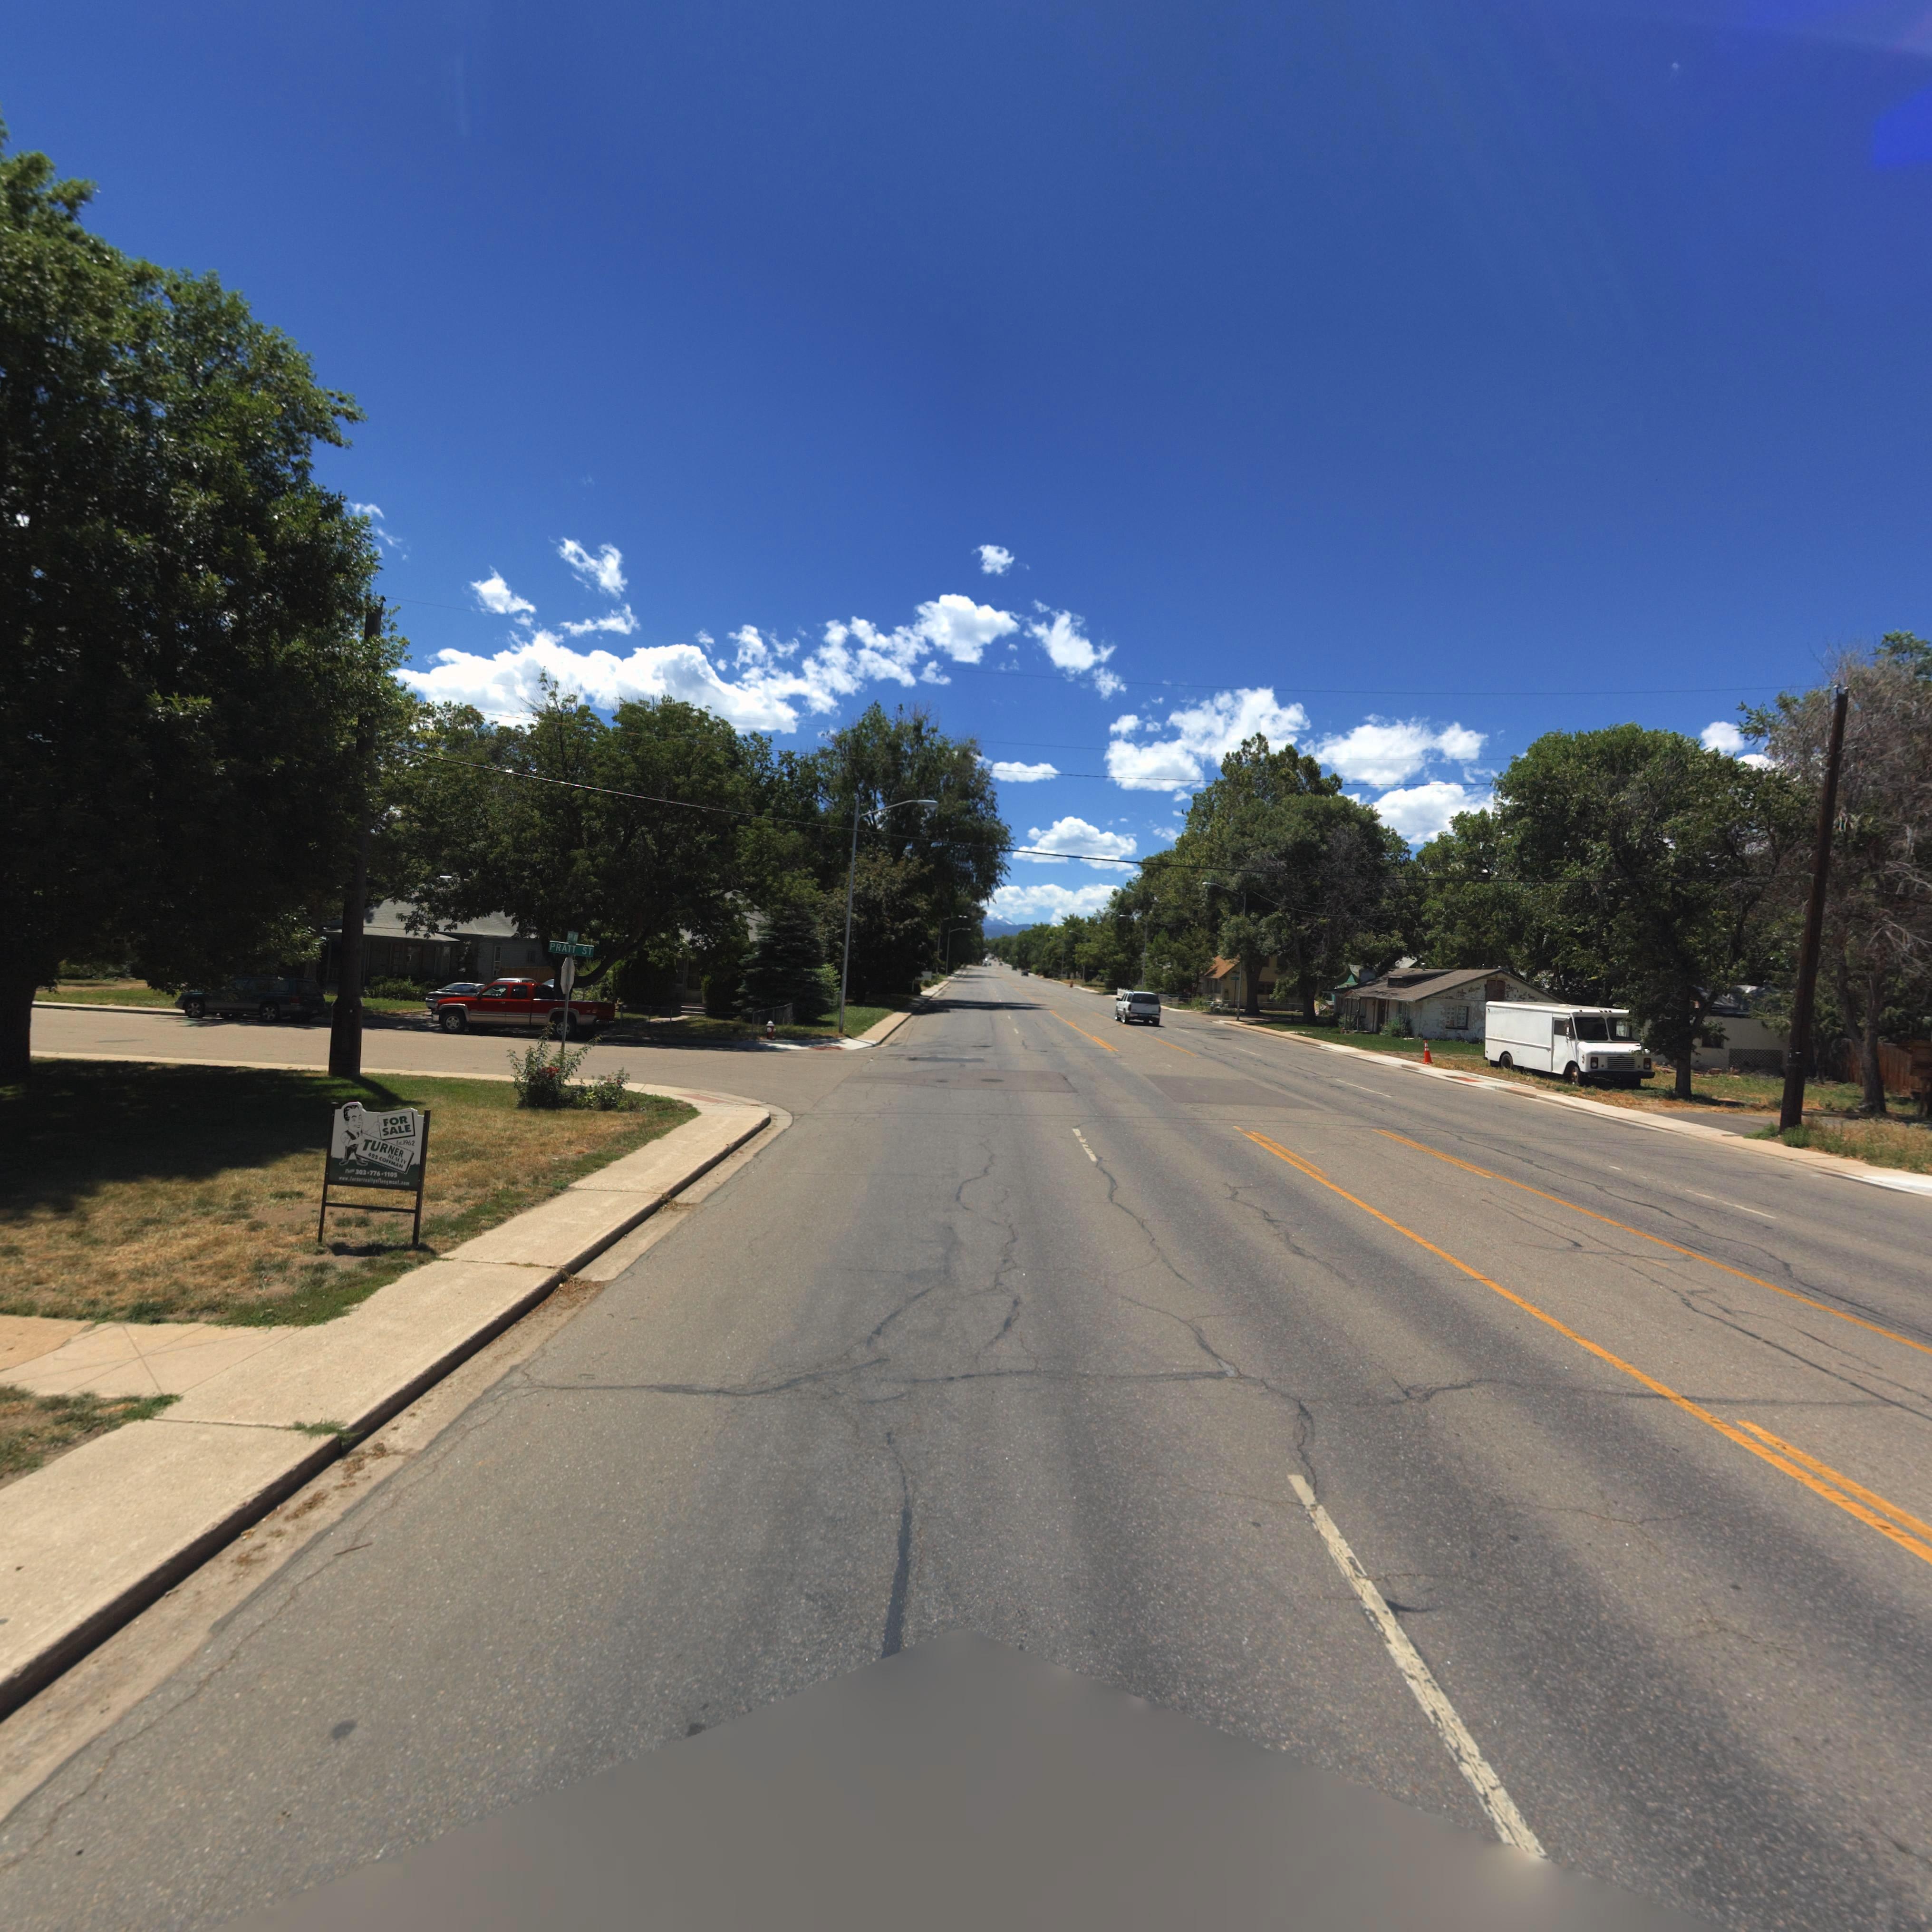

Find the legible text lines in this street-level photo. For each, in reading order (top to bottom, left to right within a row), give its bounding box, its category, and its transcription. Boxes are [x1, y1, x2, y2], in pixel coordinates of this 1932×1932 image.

[567, 933, 578, 942] StreetName: 9** **
[549, 942, 593, 955] StreetName: PRATT ST